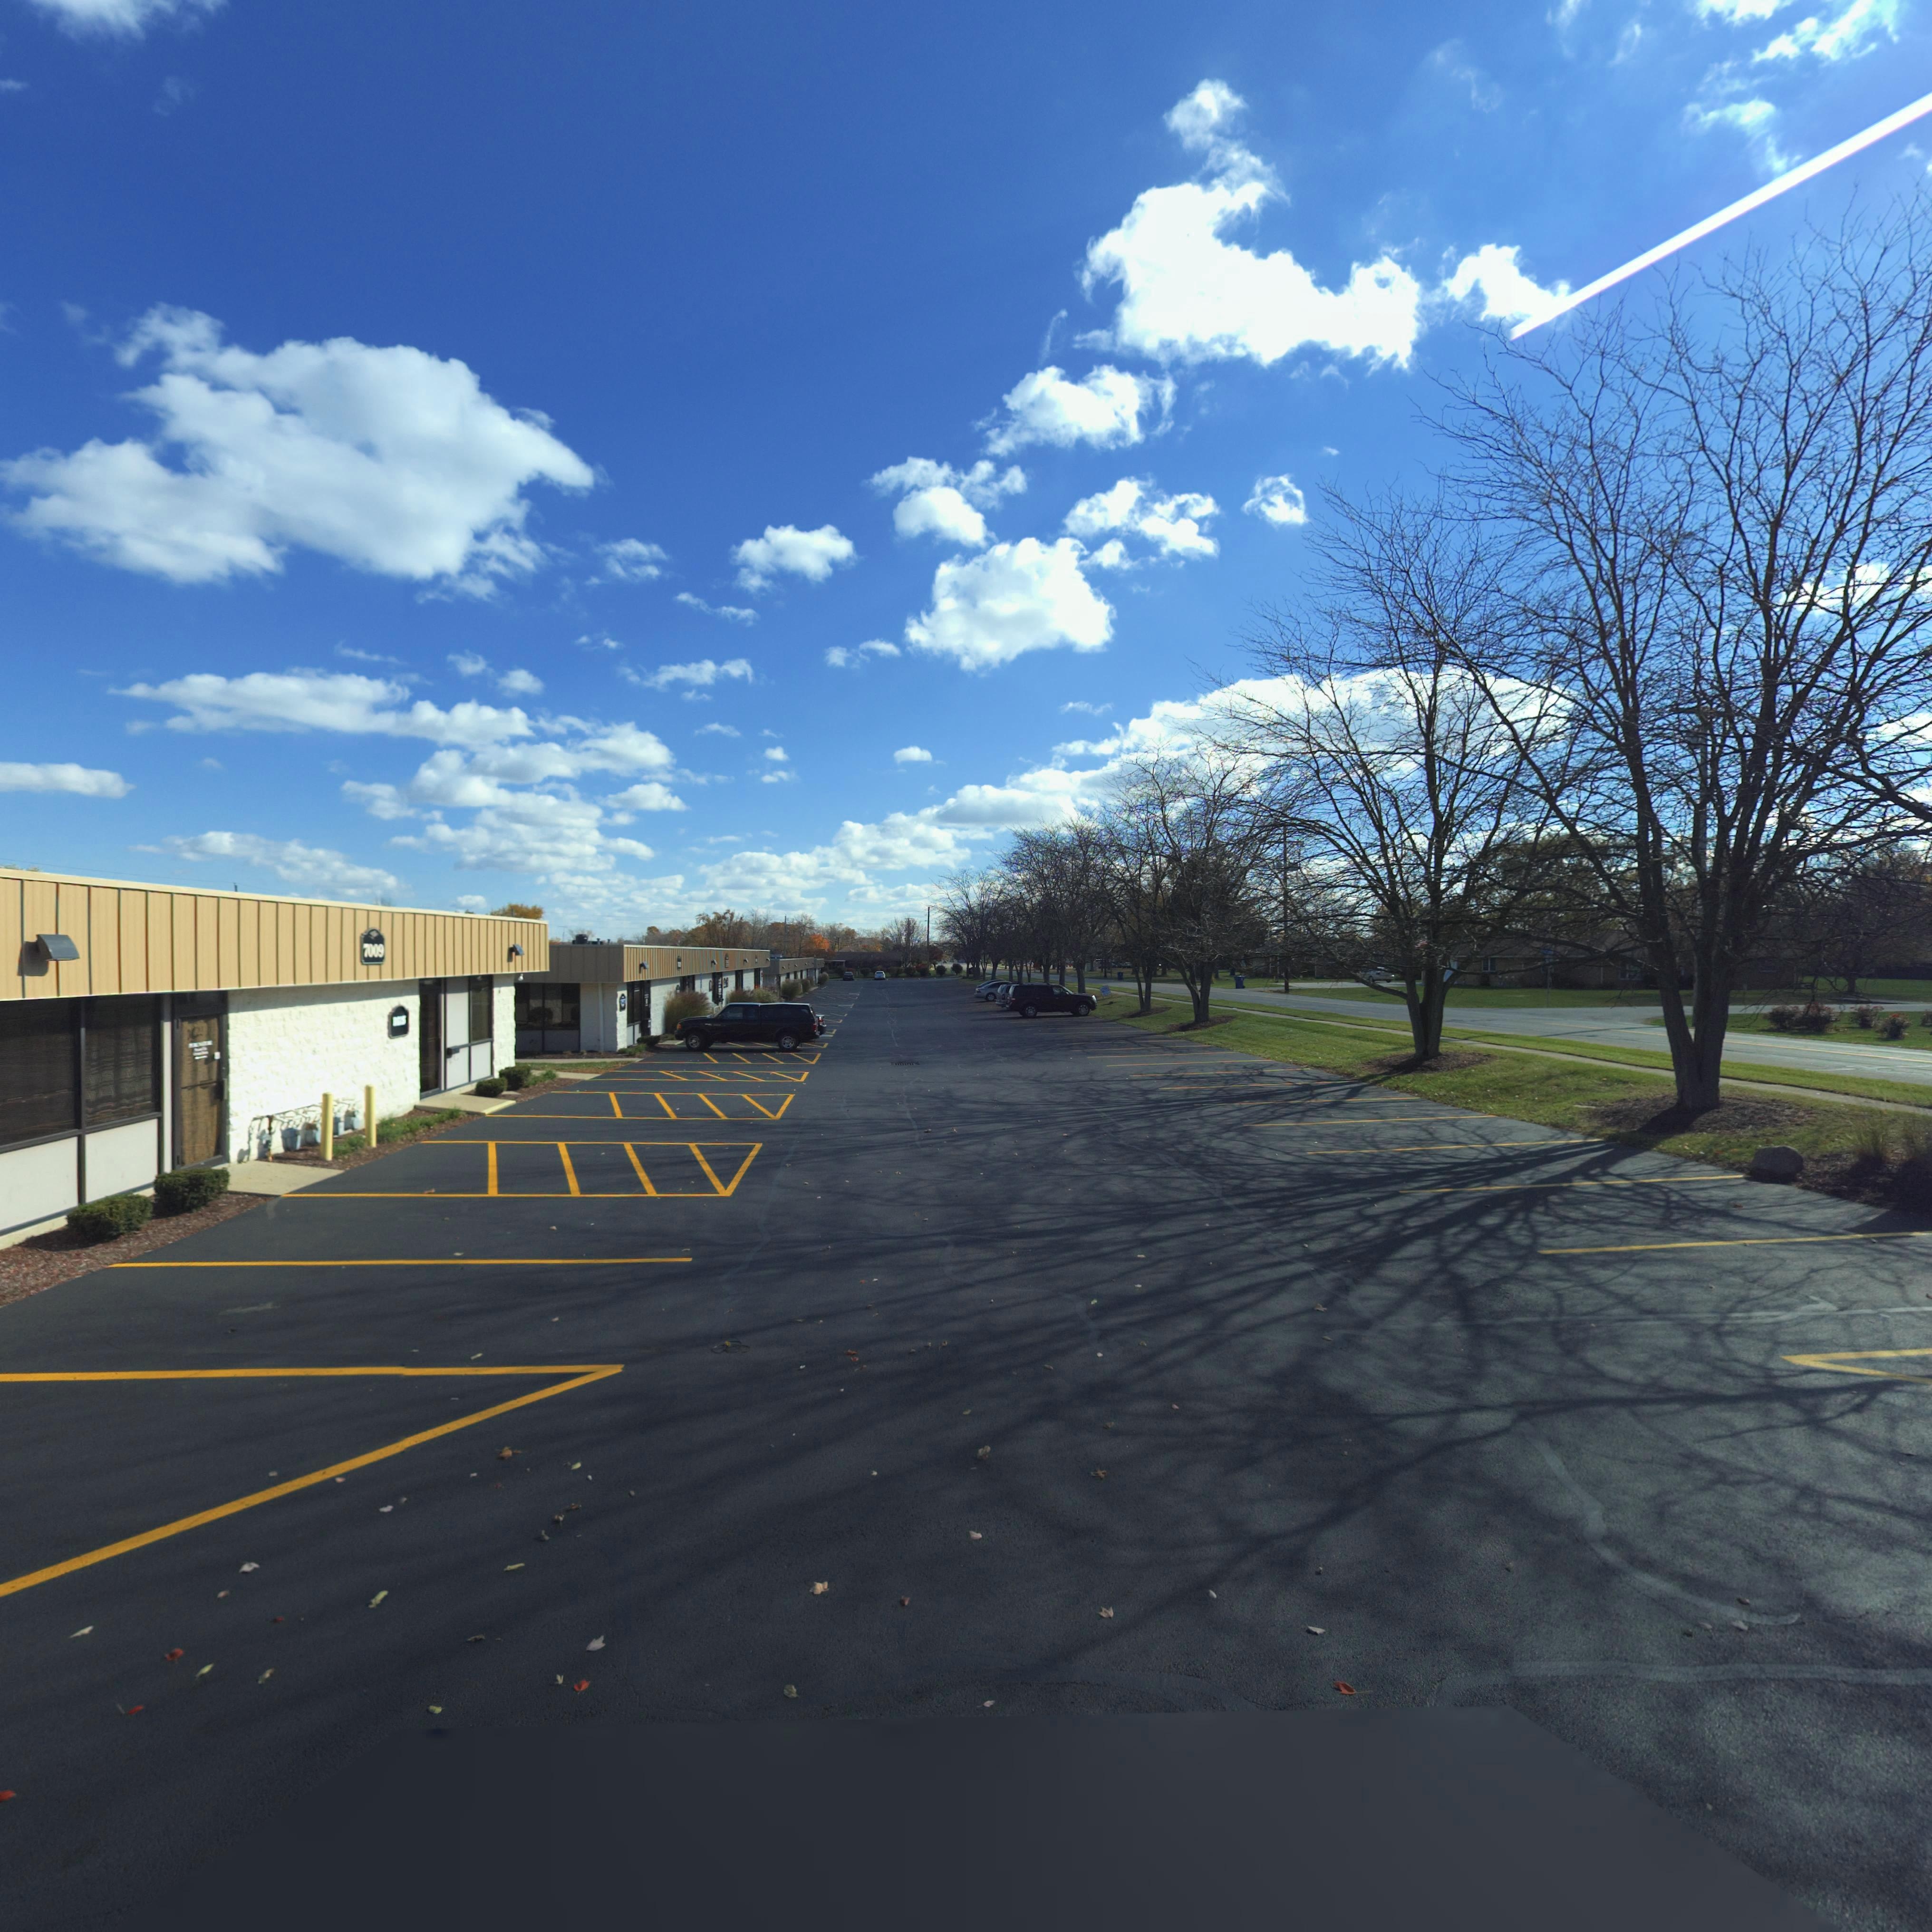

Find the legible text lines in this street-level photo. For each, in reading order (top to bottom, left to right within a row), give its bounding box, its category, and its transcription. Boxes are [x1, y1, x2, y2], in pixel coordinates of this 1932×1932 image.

[361, 942, 386, 959] StreetNumber: 7009